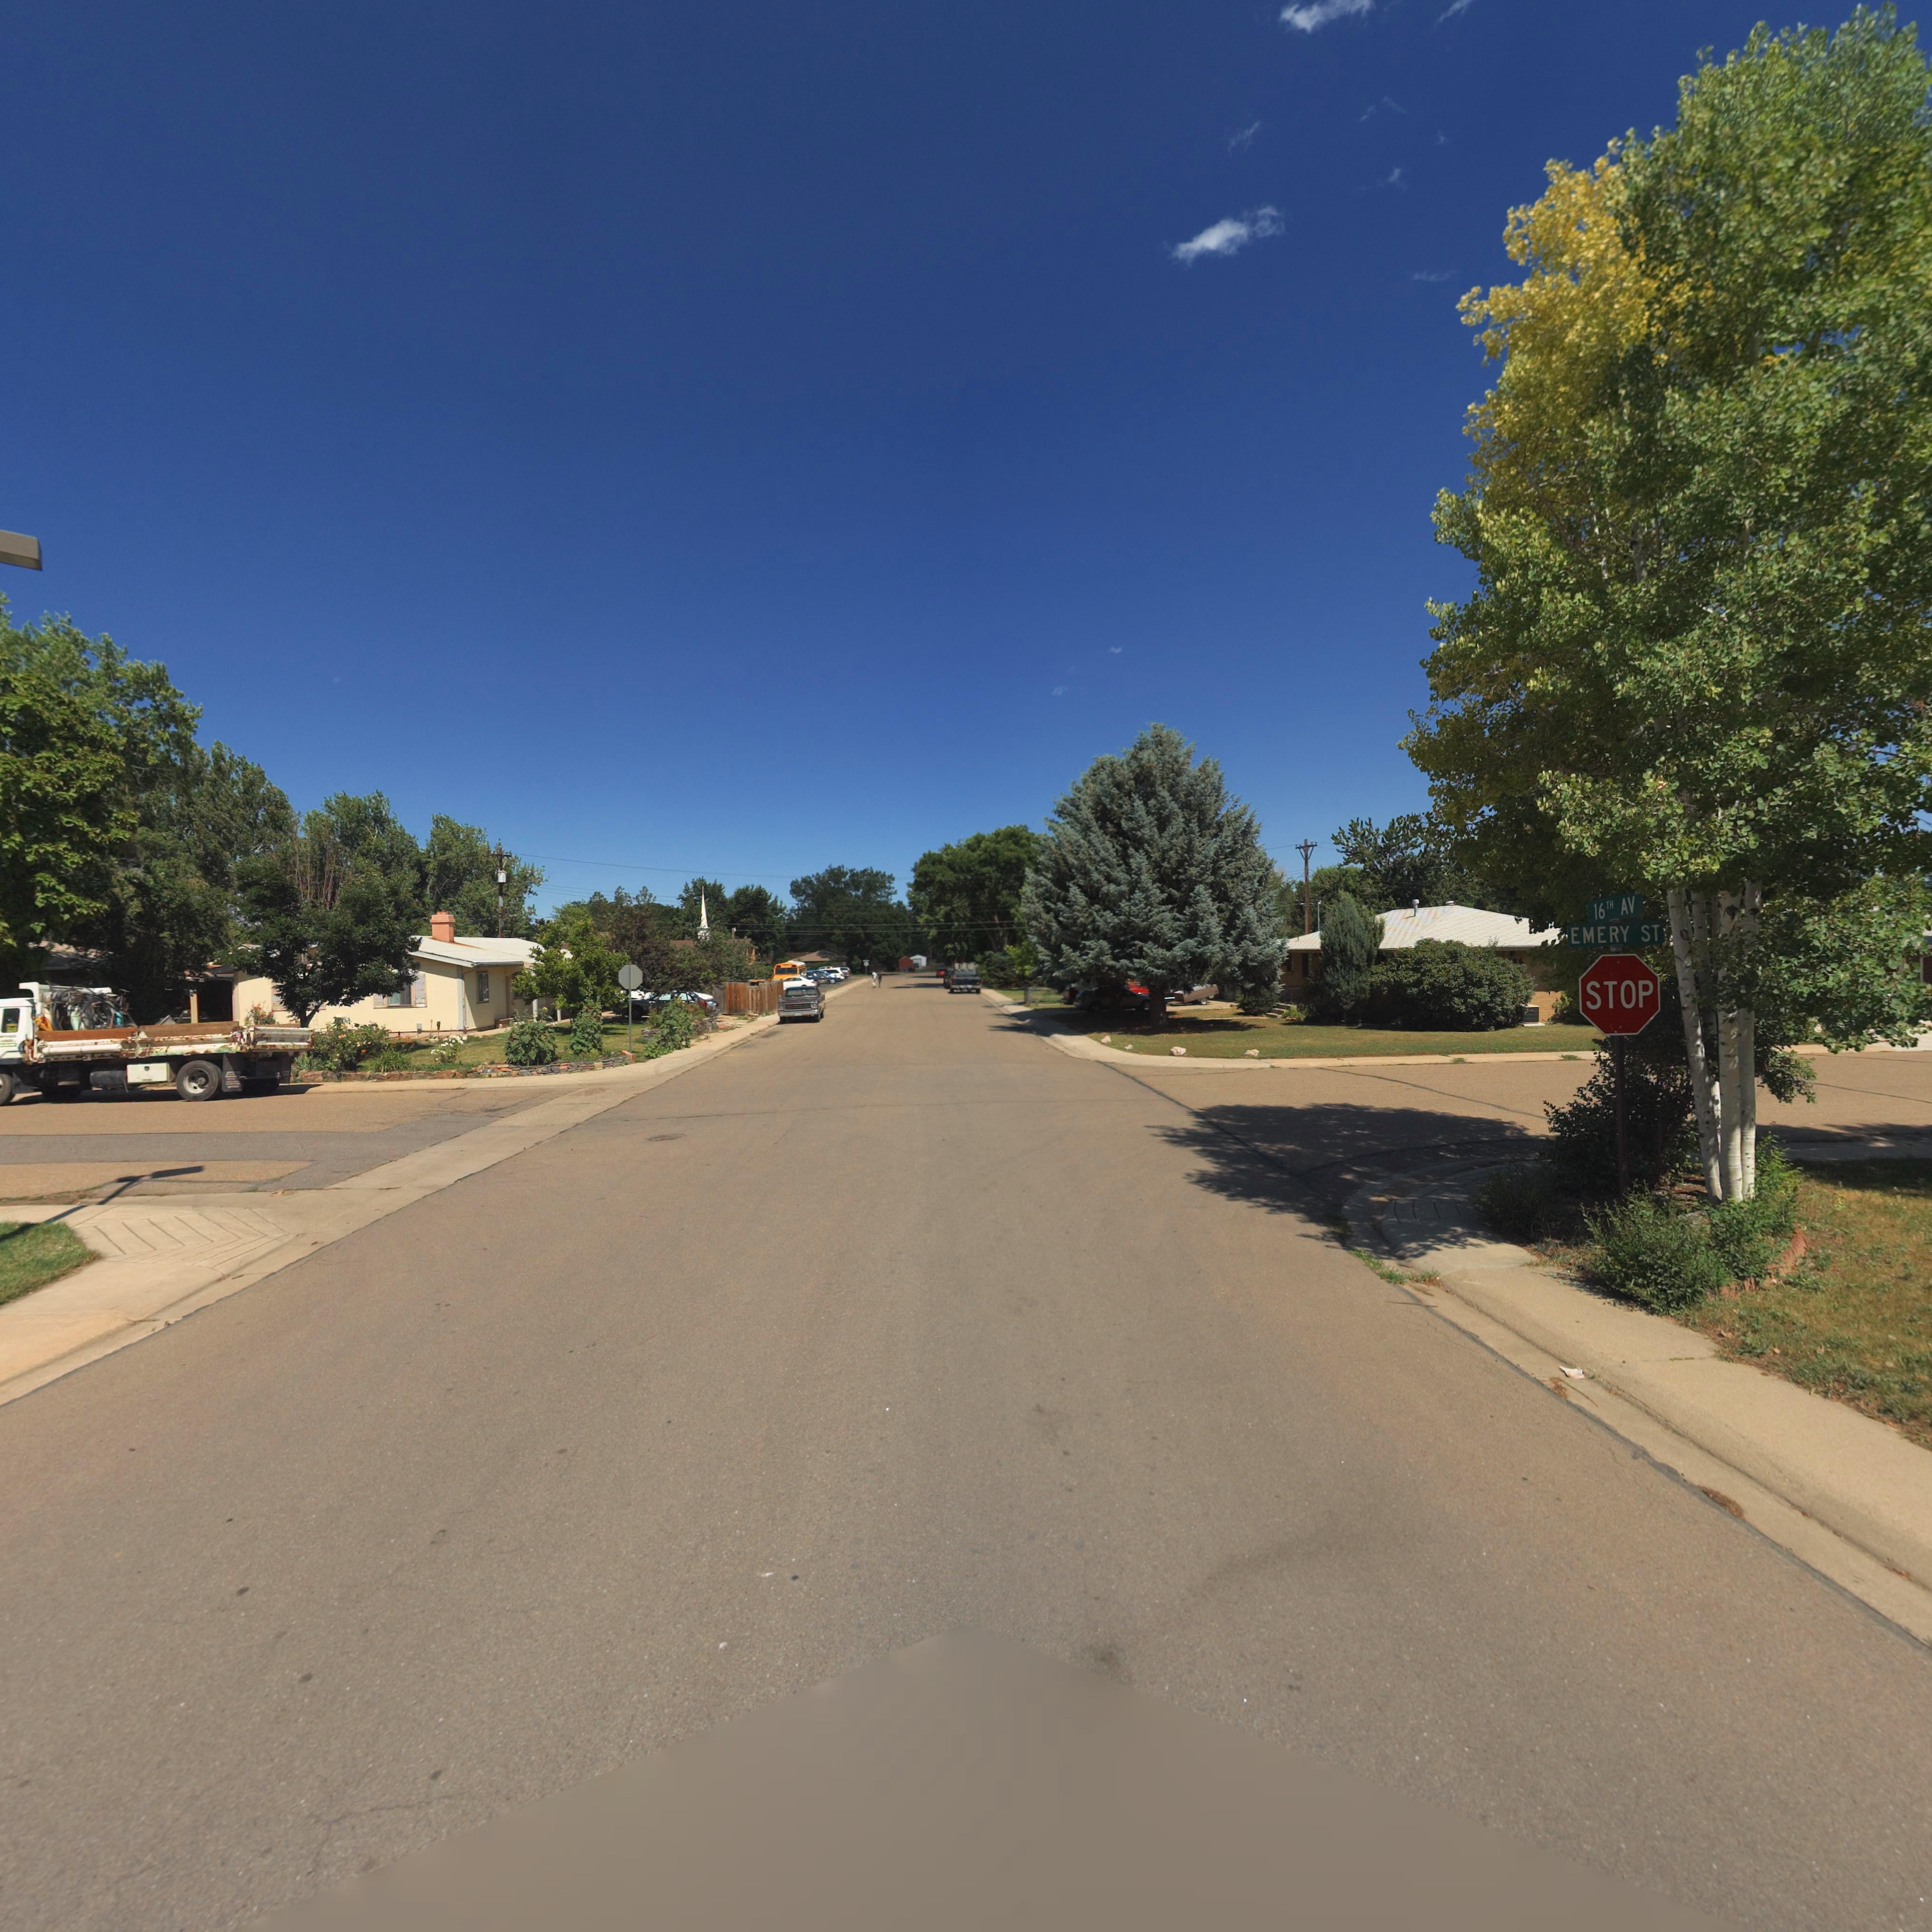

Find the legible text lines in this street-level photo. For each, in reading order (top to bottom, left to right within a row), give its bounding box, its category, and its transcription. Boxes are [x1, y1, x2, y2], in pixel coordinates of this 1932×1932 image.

[1593, 895, 1635, 919] StreetName: 16TH AV
[1570, 924, 1660, 944] StreetName: EMERY ST